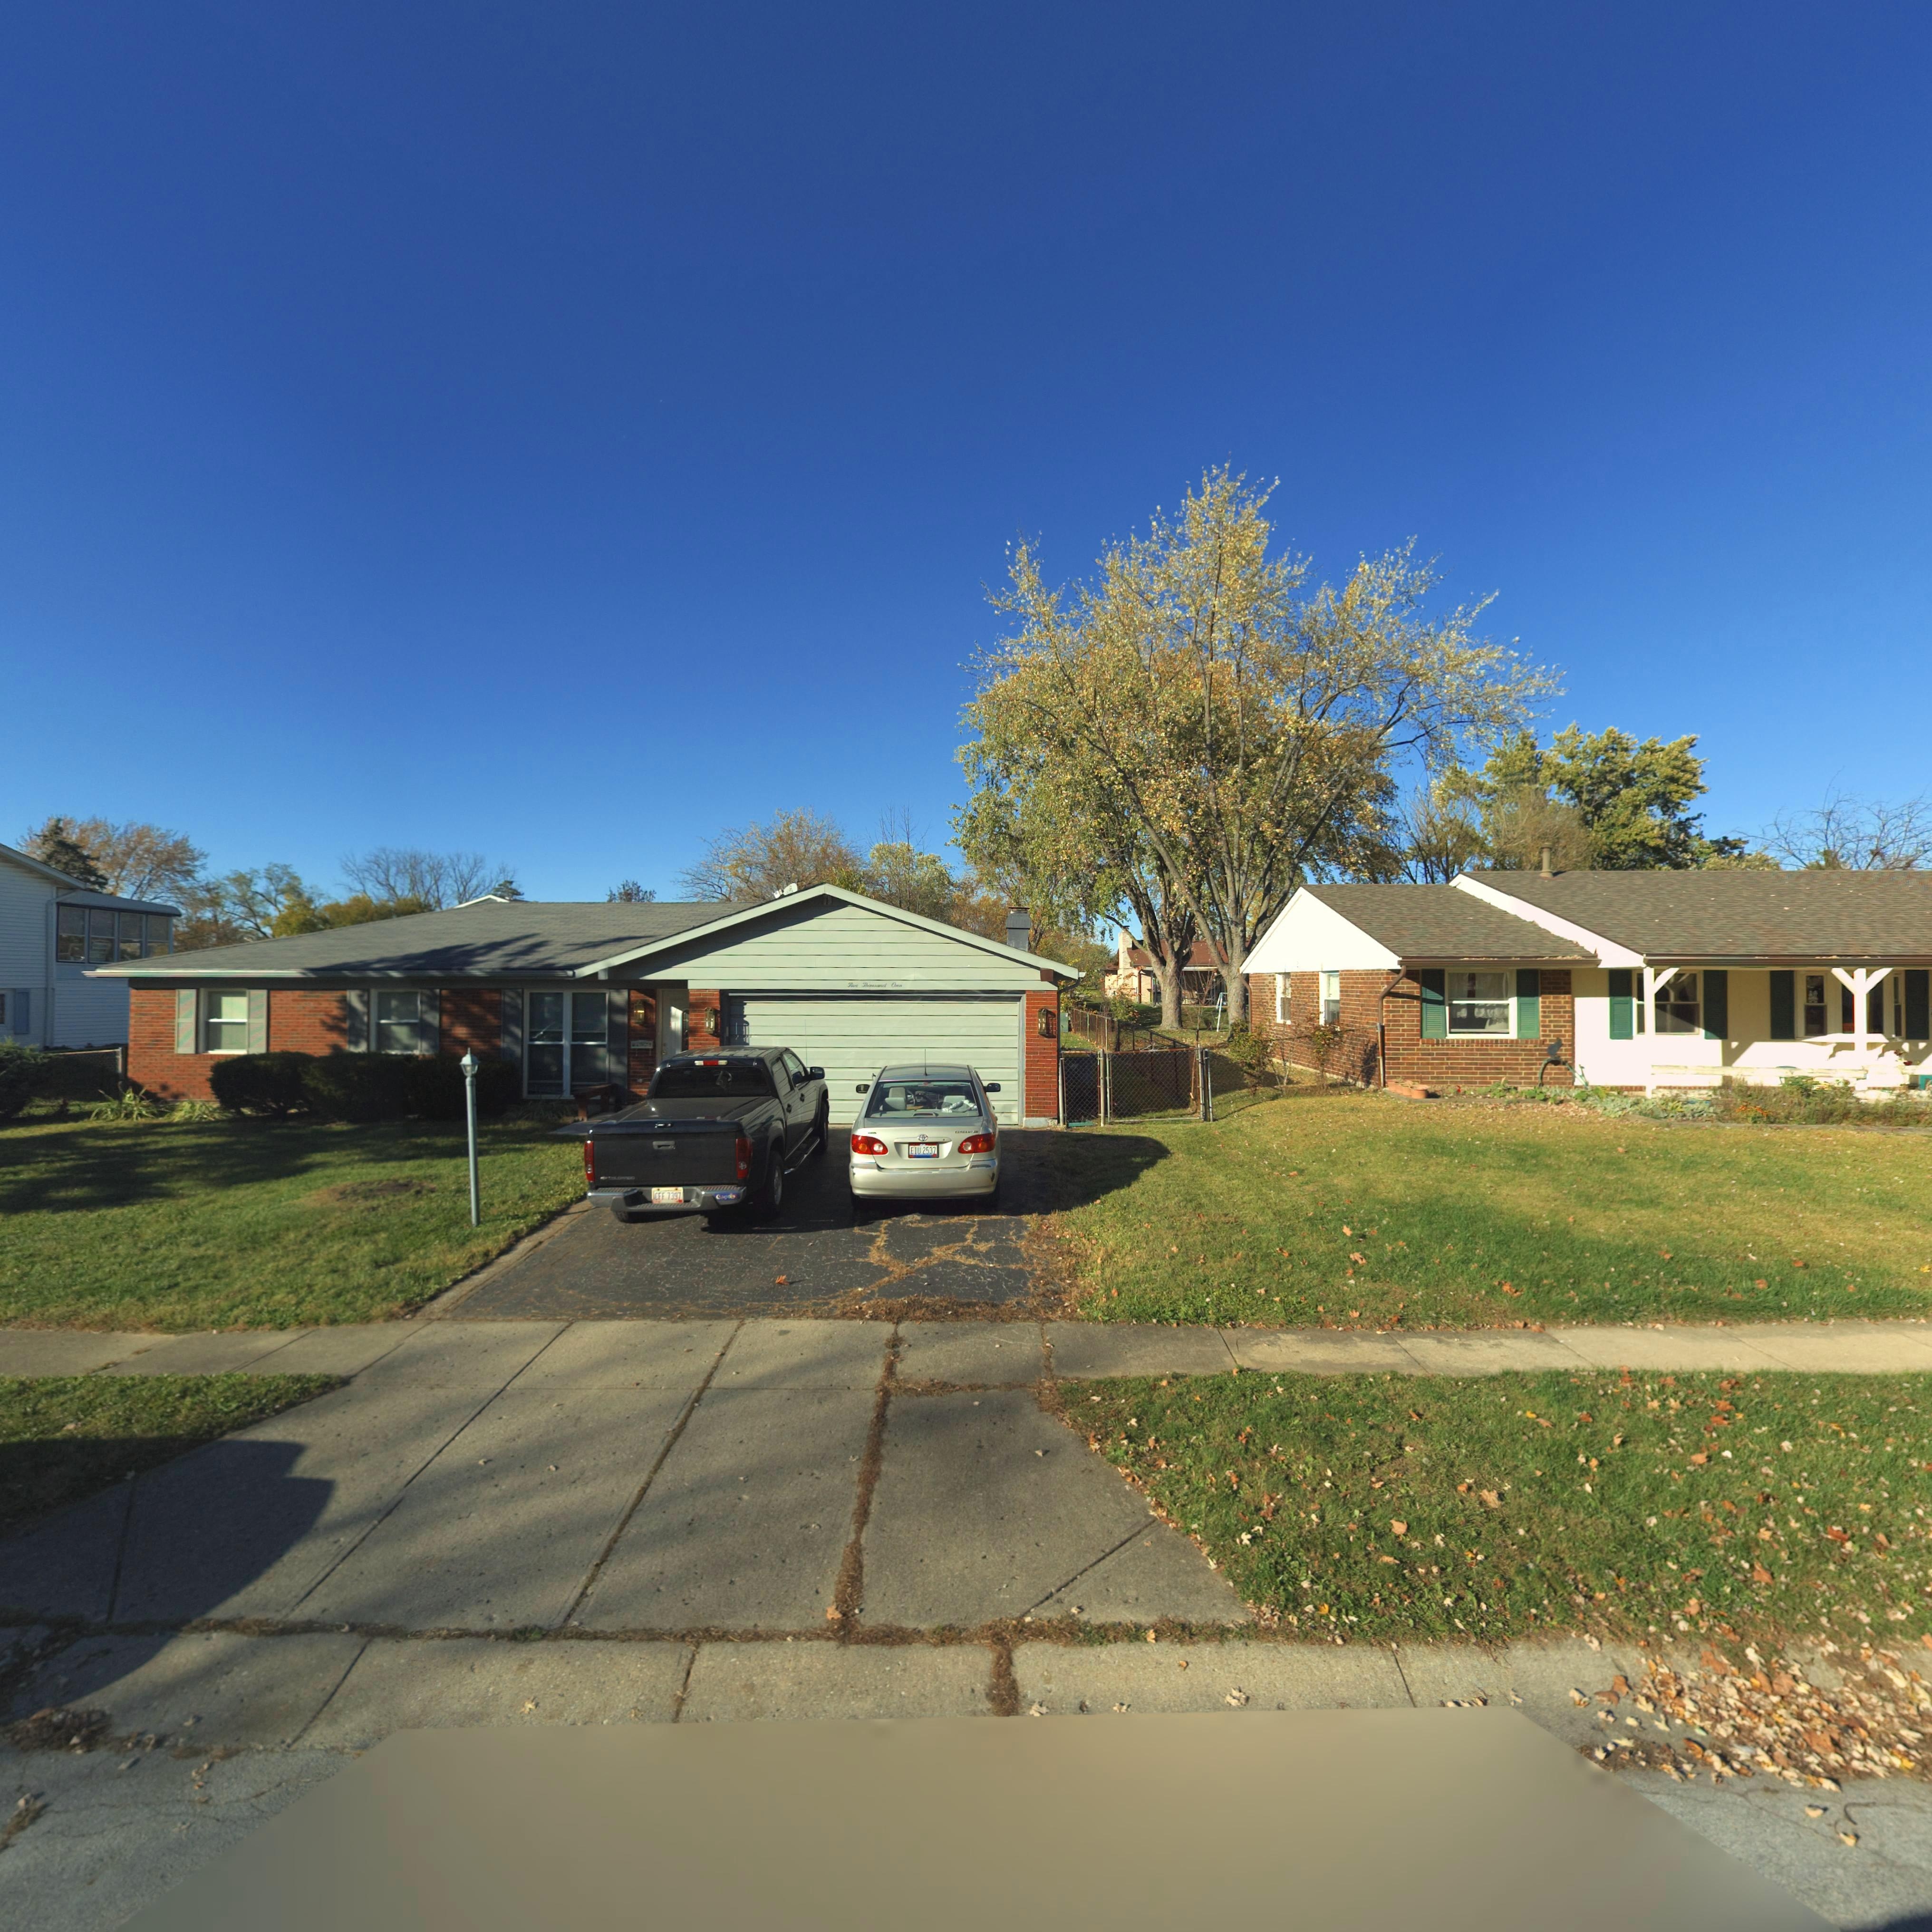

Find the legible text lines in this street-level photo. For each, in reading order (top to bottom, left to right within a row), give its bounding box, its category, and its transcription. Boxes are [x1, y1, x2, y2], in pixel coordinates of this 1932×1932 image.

[846, 982, 903, 988] StreetNumber: Five Thousand One